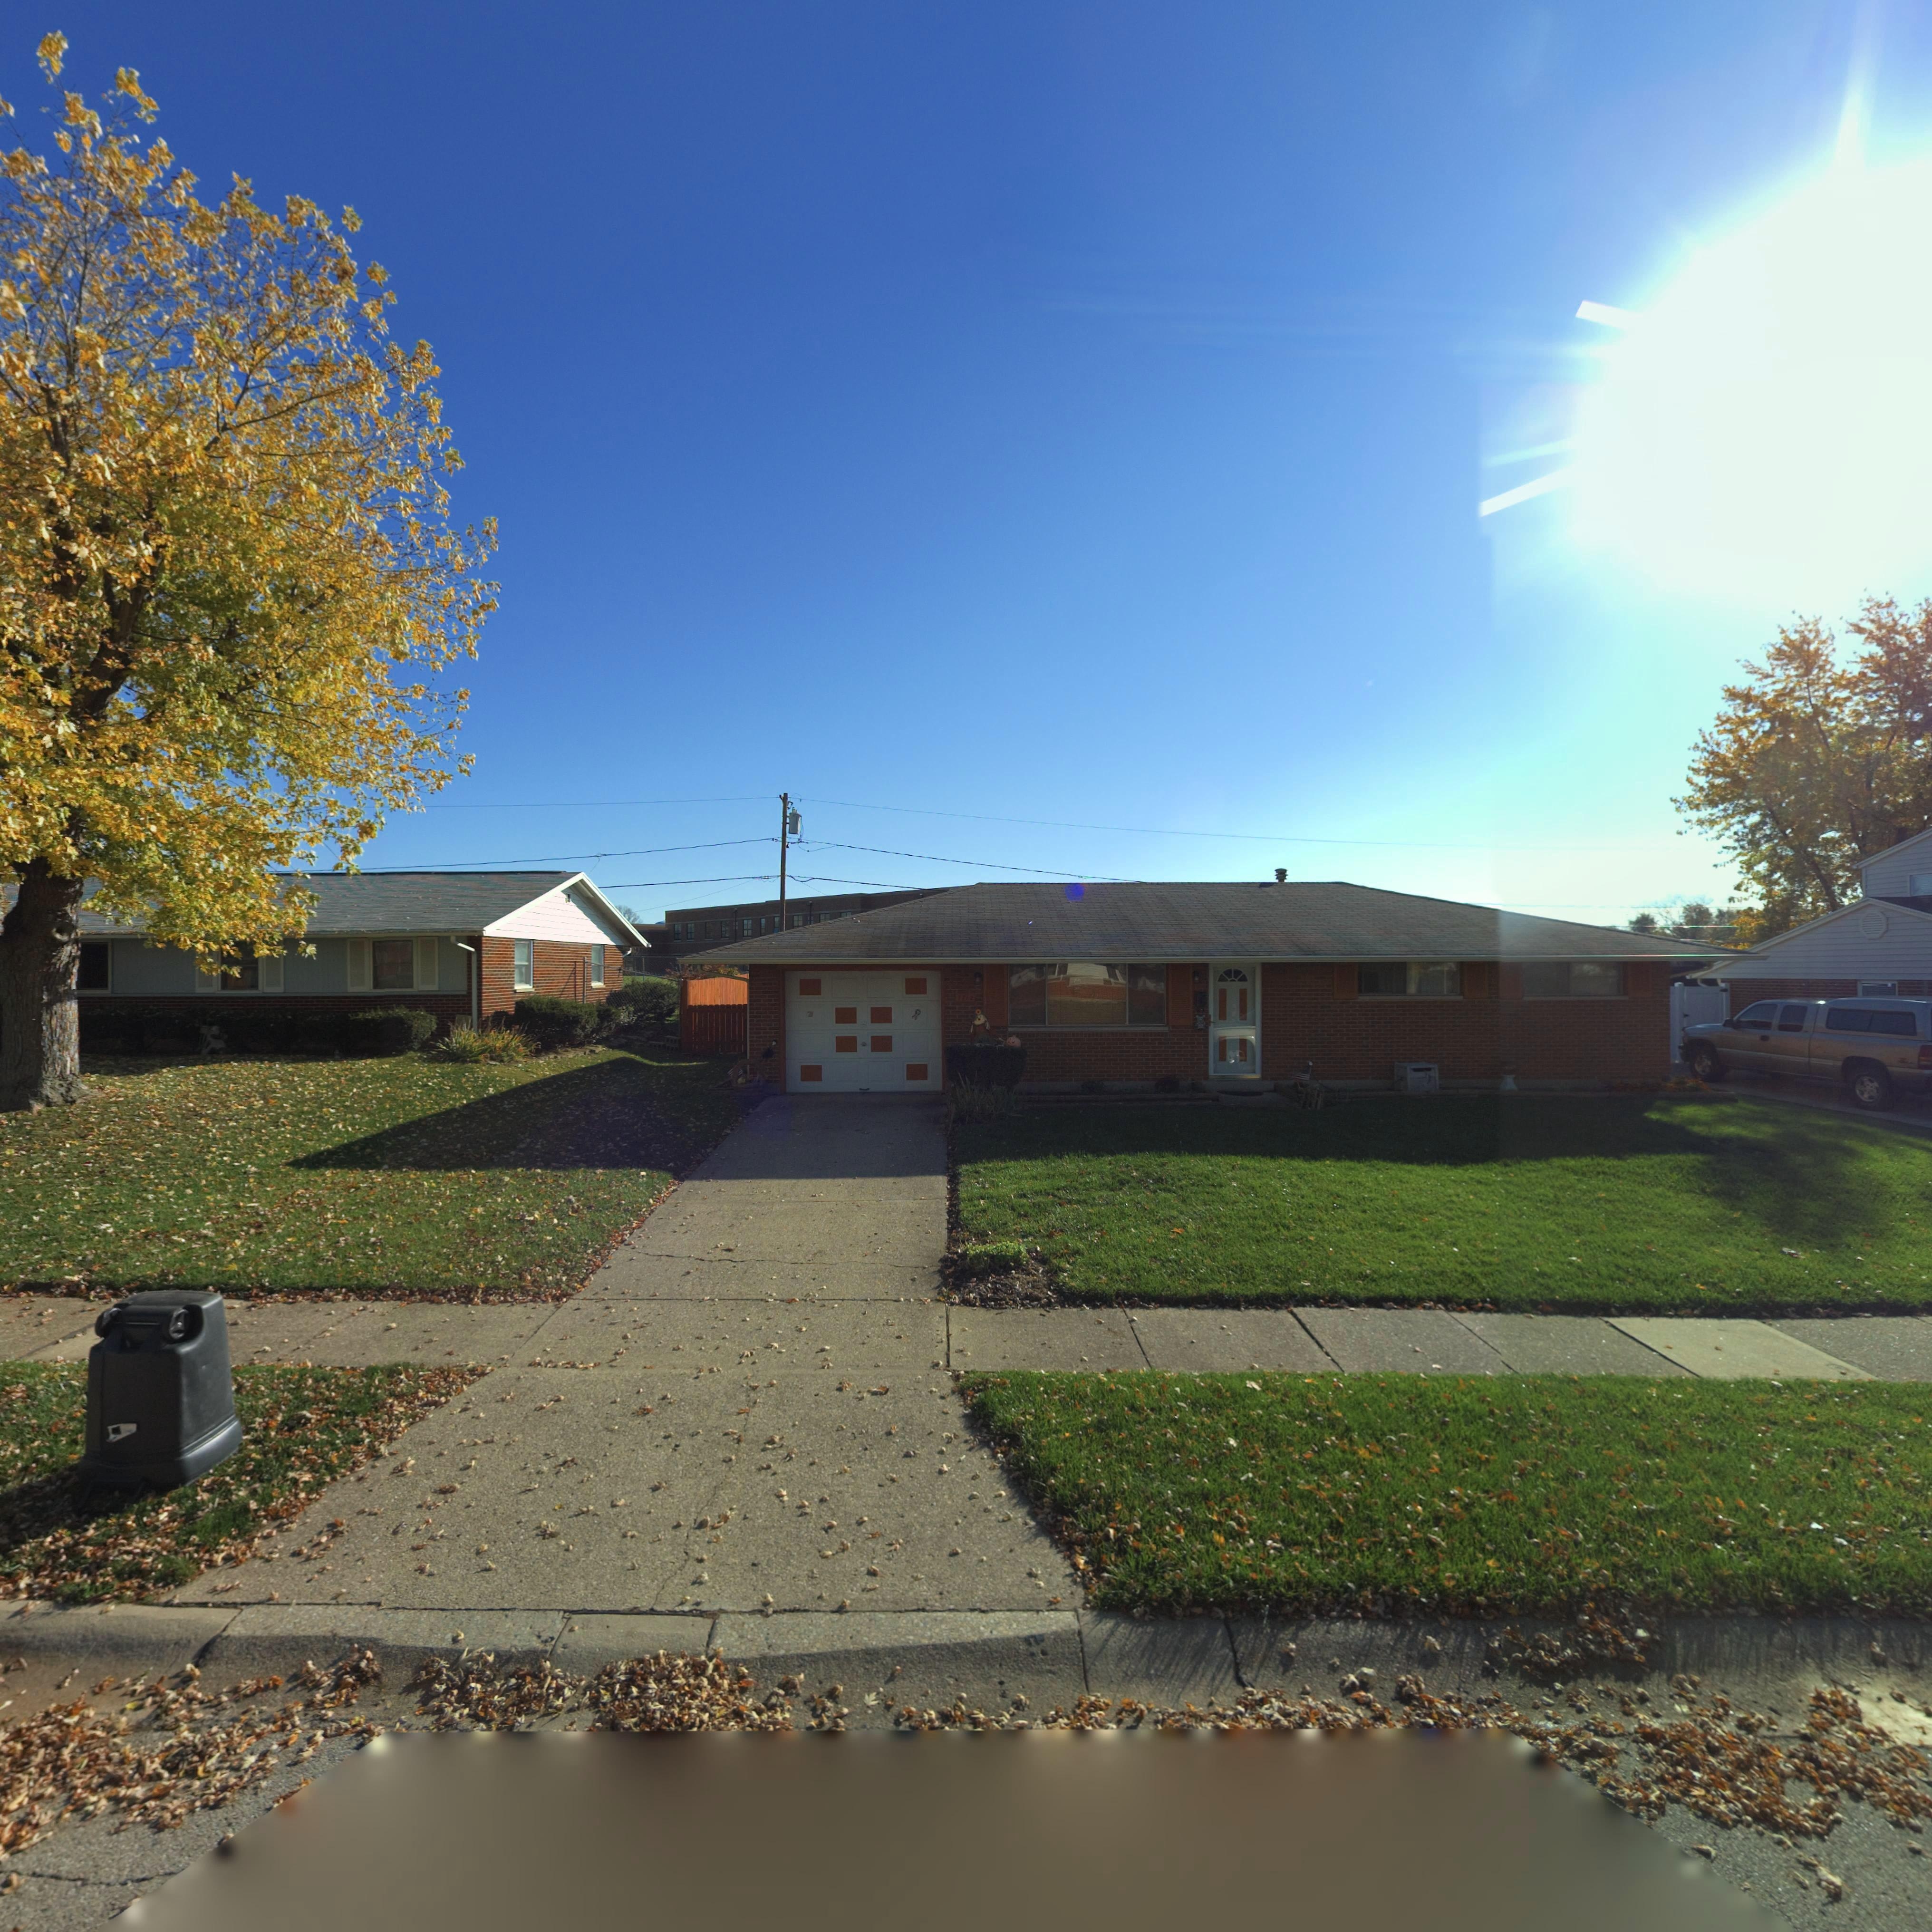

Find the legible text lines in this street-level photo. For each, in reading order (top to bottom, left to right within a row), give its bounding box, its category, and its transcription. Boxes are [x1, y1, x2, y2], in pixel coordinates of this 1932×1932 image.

[957, 995, 974, 1001] StreetNumber: 7712